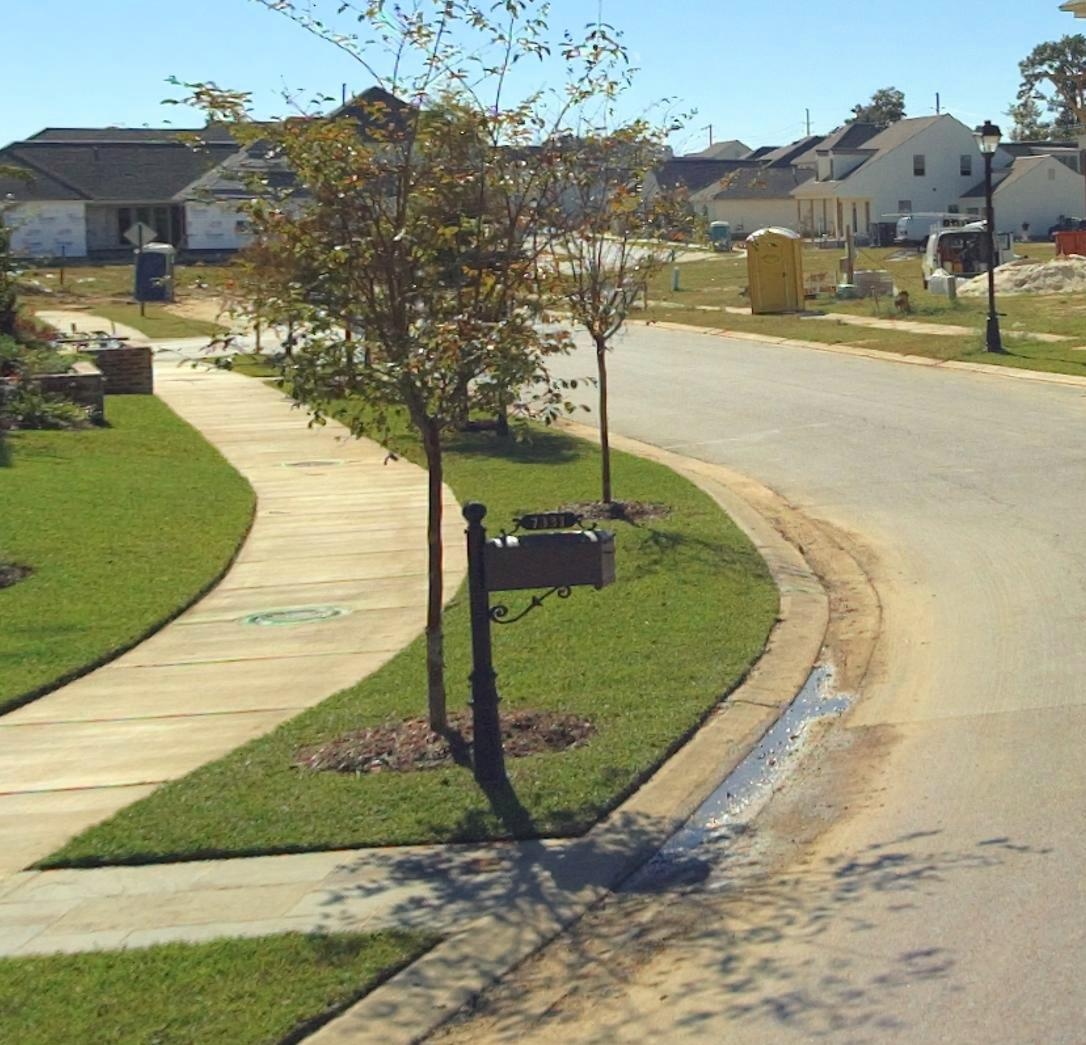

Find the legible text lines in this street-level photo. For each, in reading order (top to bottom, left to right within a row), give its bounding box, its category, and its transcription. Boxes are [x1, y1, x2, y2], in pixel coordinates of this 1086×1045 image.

[529, 514, 566, 529] StreetNumber: 7331